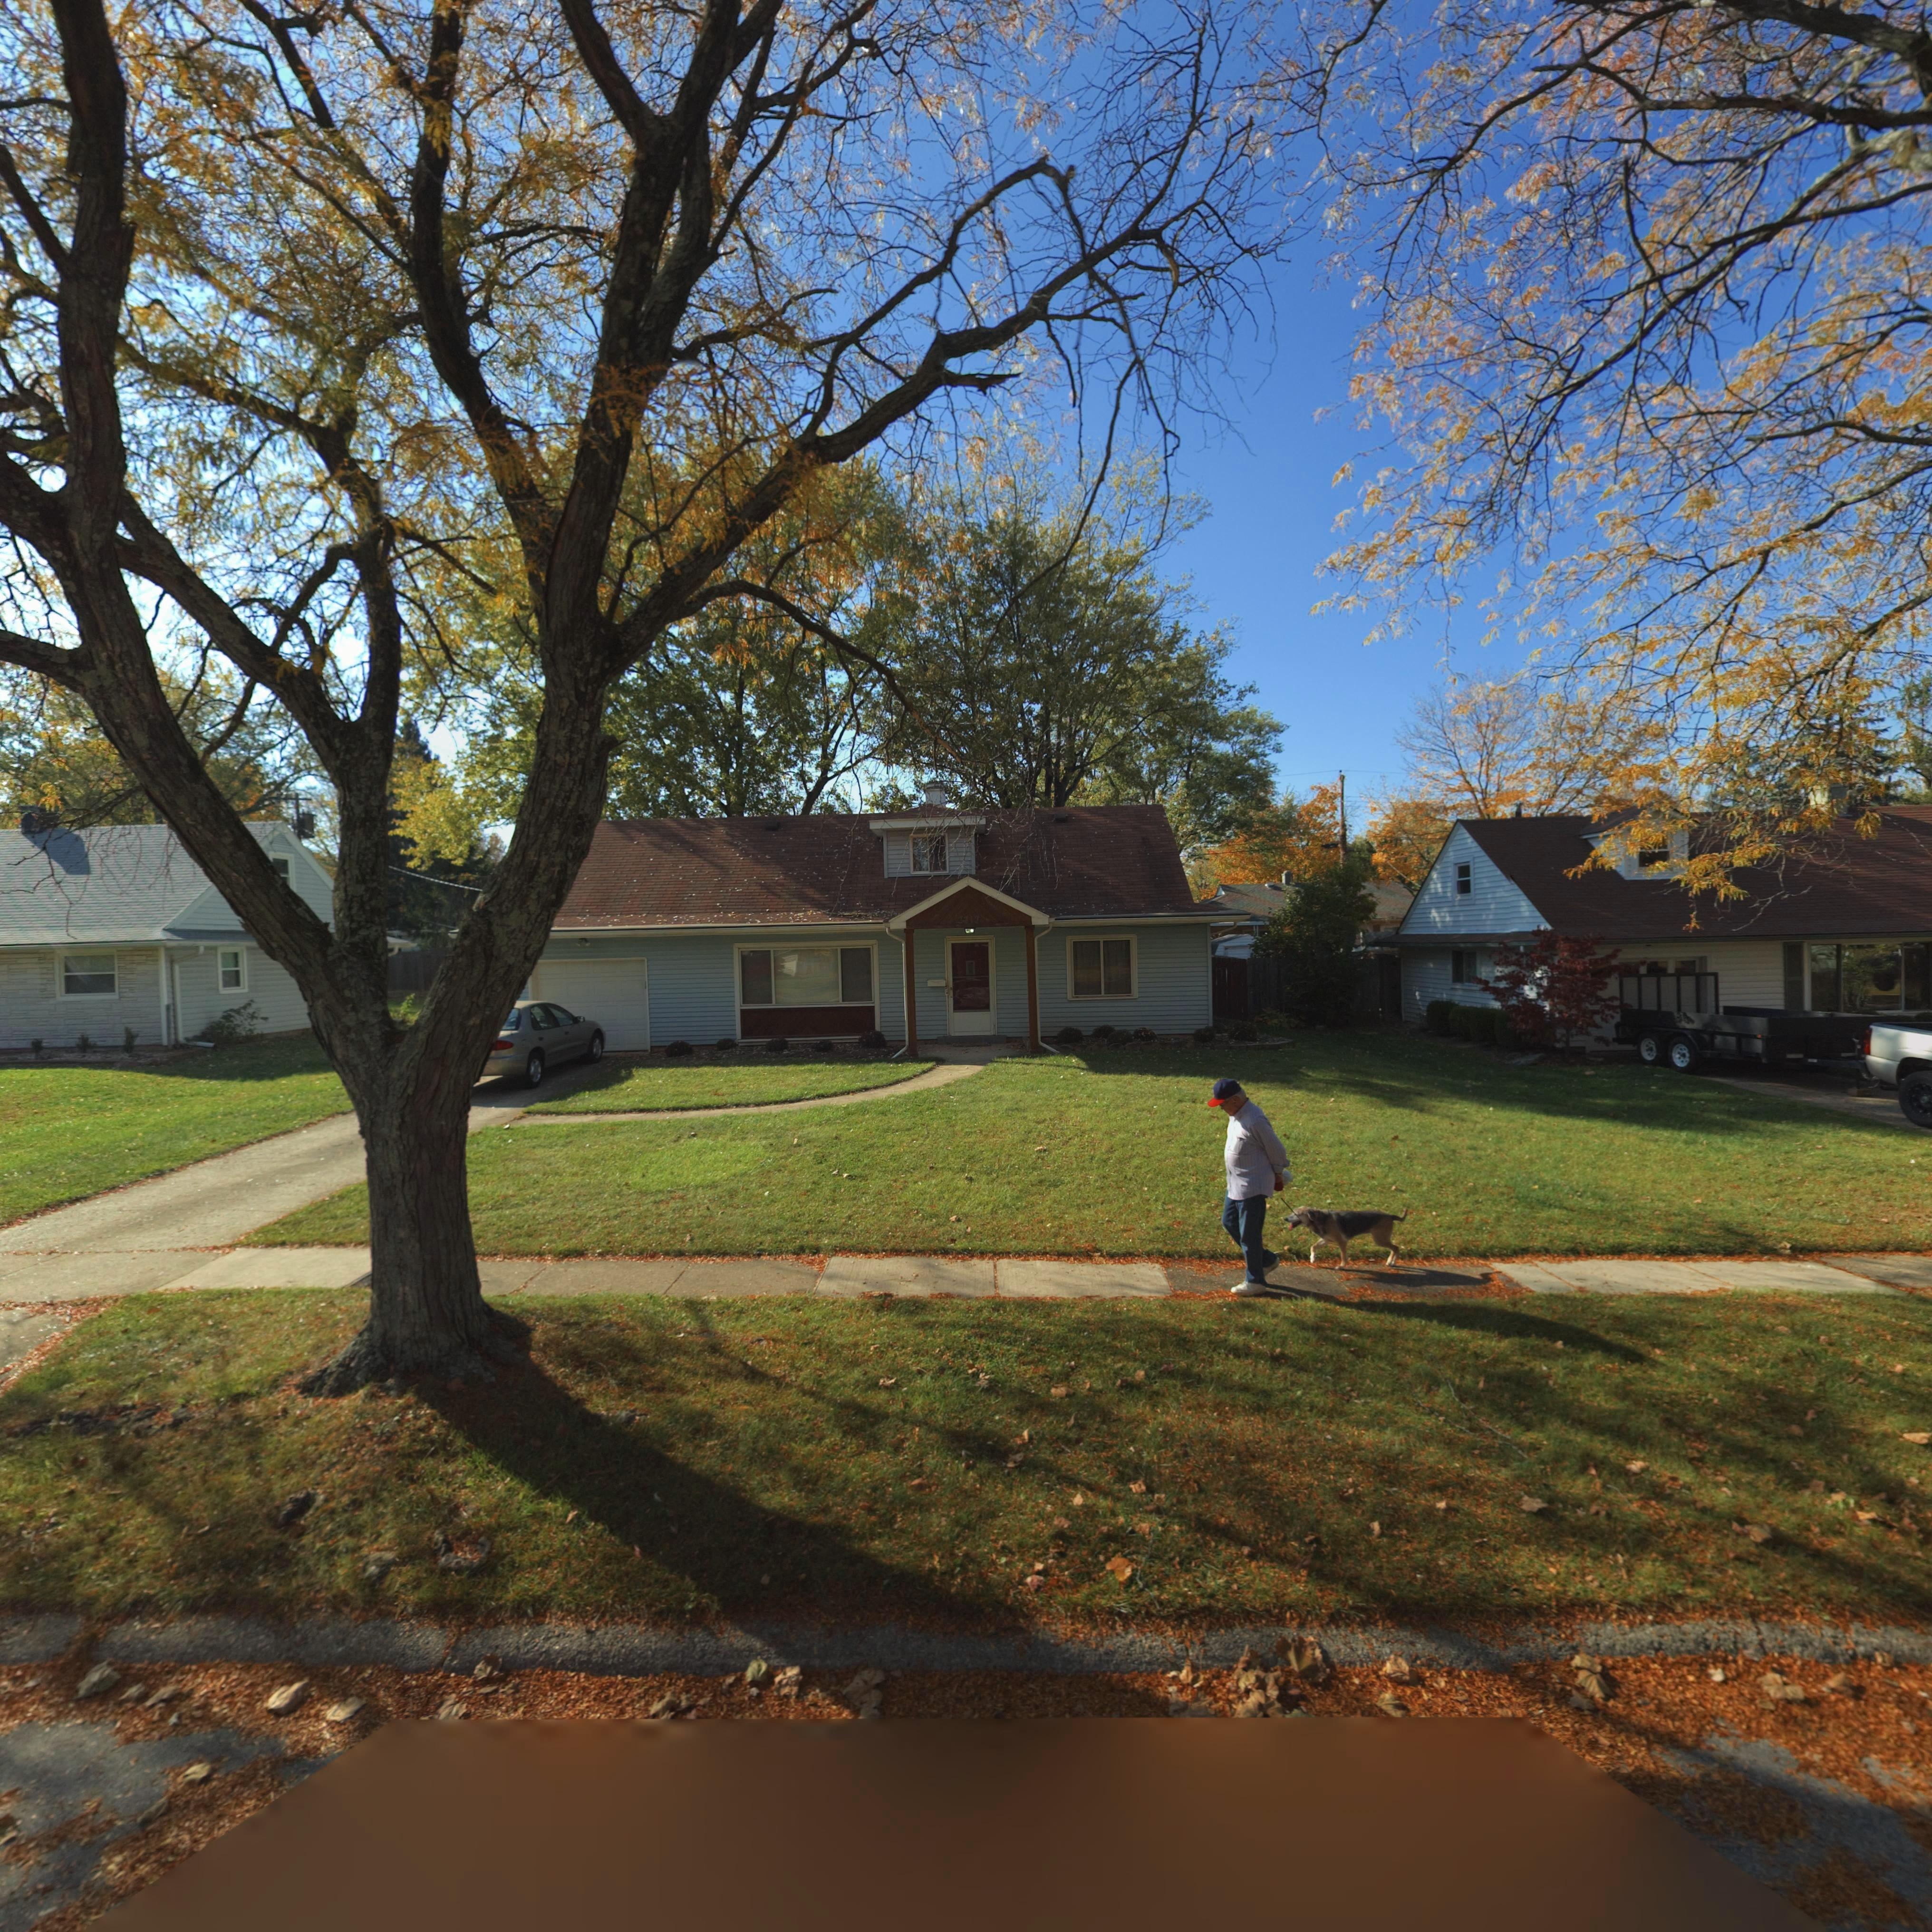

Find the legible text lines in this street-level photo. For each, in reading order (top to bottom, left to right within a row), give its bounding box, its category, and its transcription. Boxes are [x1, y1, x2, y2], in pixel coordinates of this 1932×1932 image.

[957, 915, 981, 925] StreetNumber: 3717